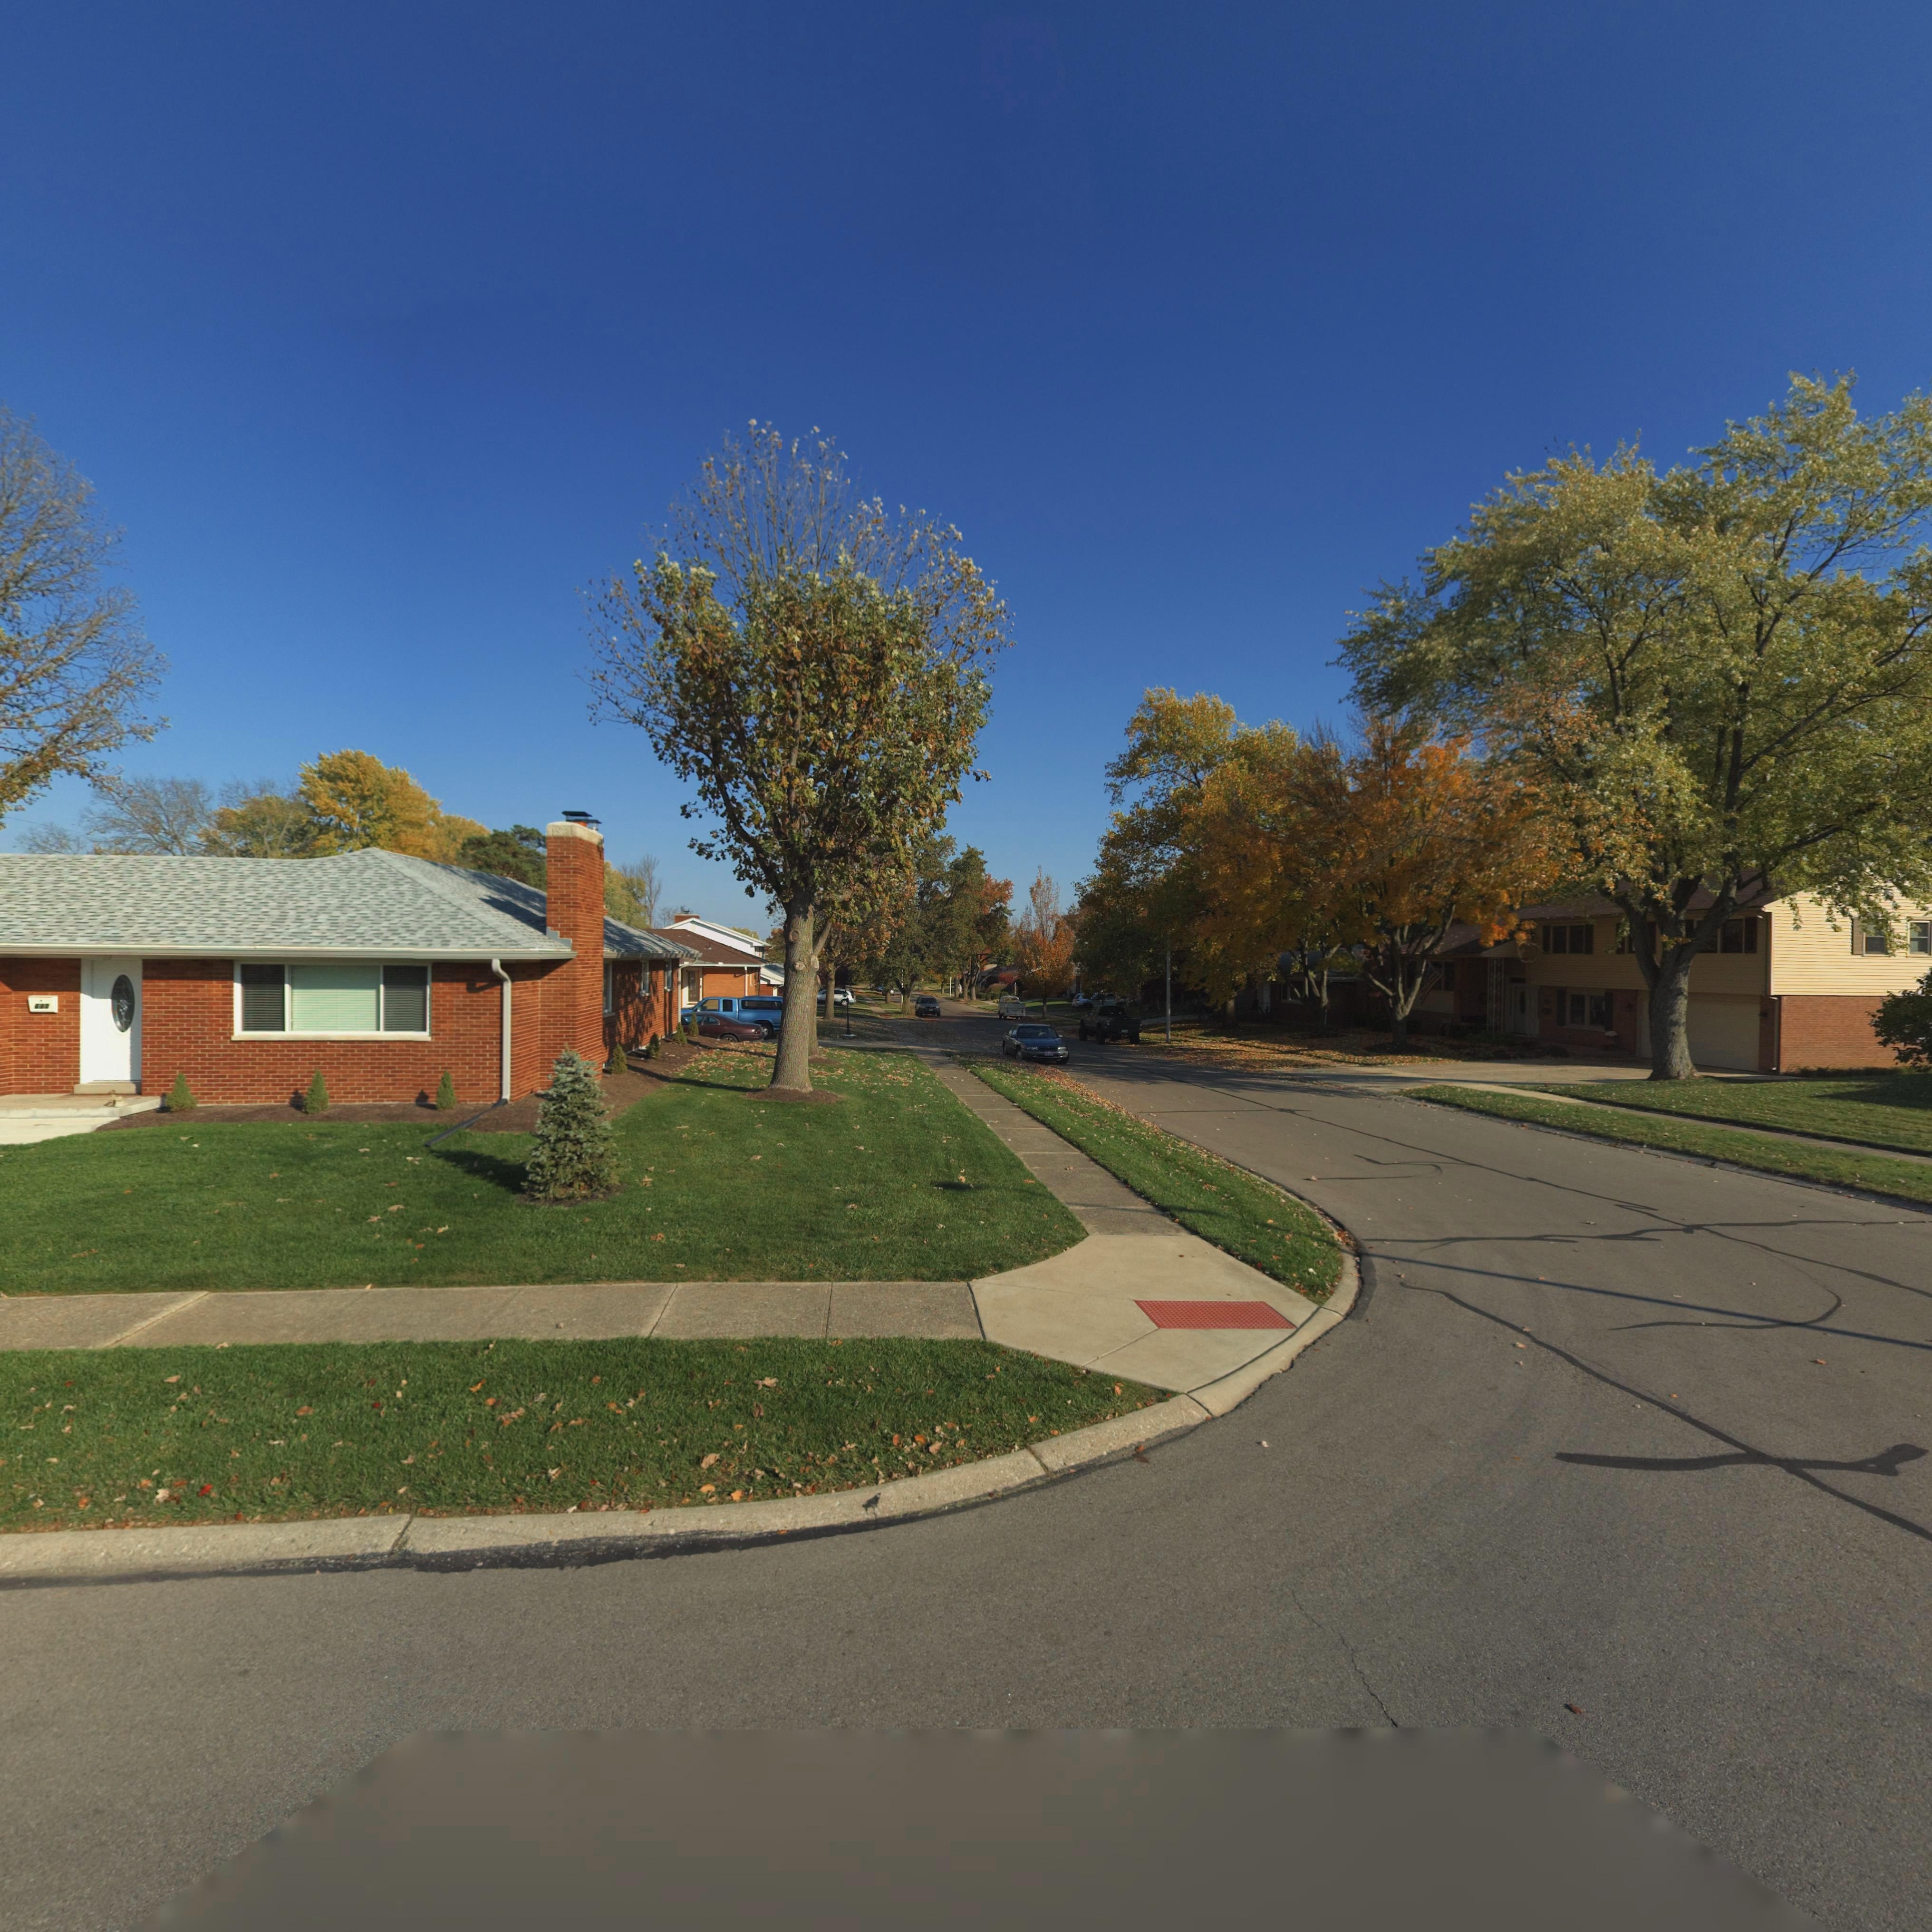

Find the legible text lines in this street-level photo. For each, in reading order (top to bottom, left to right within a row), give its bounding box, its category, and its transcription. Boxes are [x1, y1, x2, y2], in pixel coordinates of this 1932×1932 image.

[34, 1004, 50, 1009] StreetNumber: 6*0